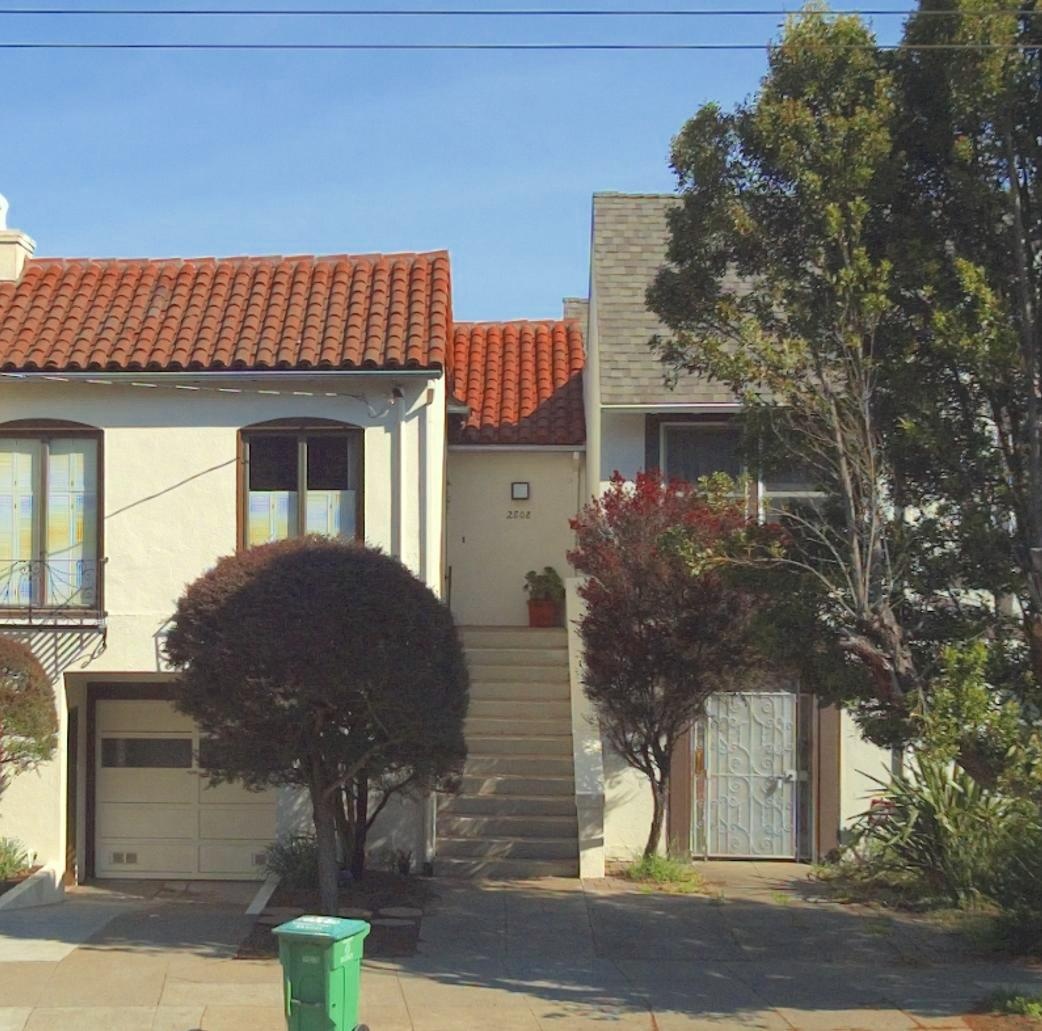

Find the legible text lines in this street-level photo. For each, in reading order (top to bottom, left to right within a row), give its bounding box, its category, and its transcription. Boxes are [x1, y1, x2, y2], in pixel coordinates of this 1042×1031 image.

[506, 509, 533, 522] StreetNumber: 2506